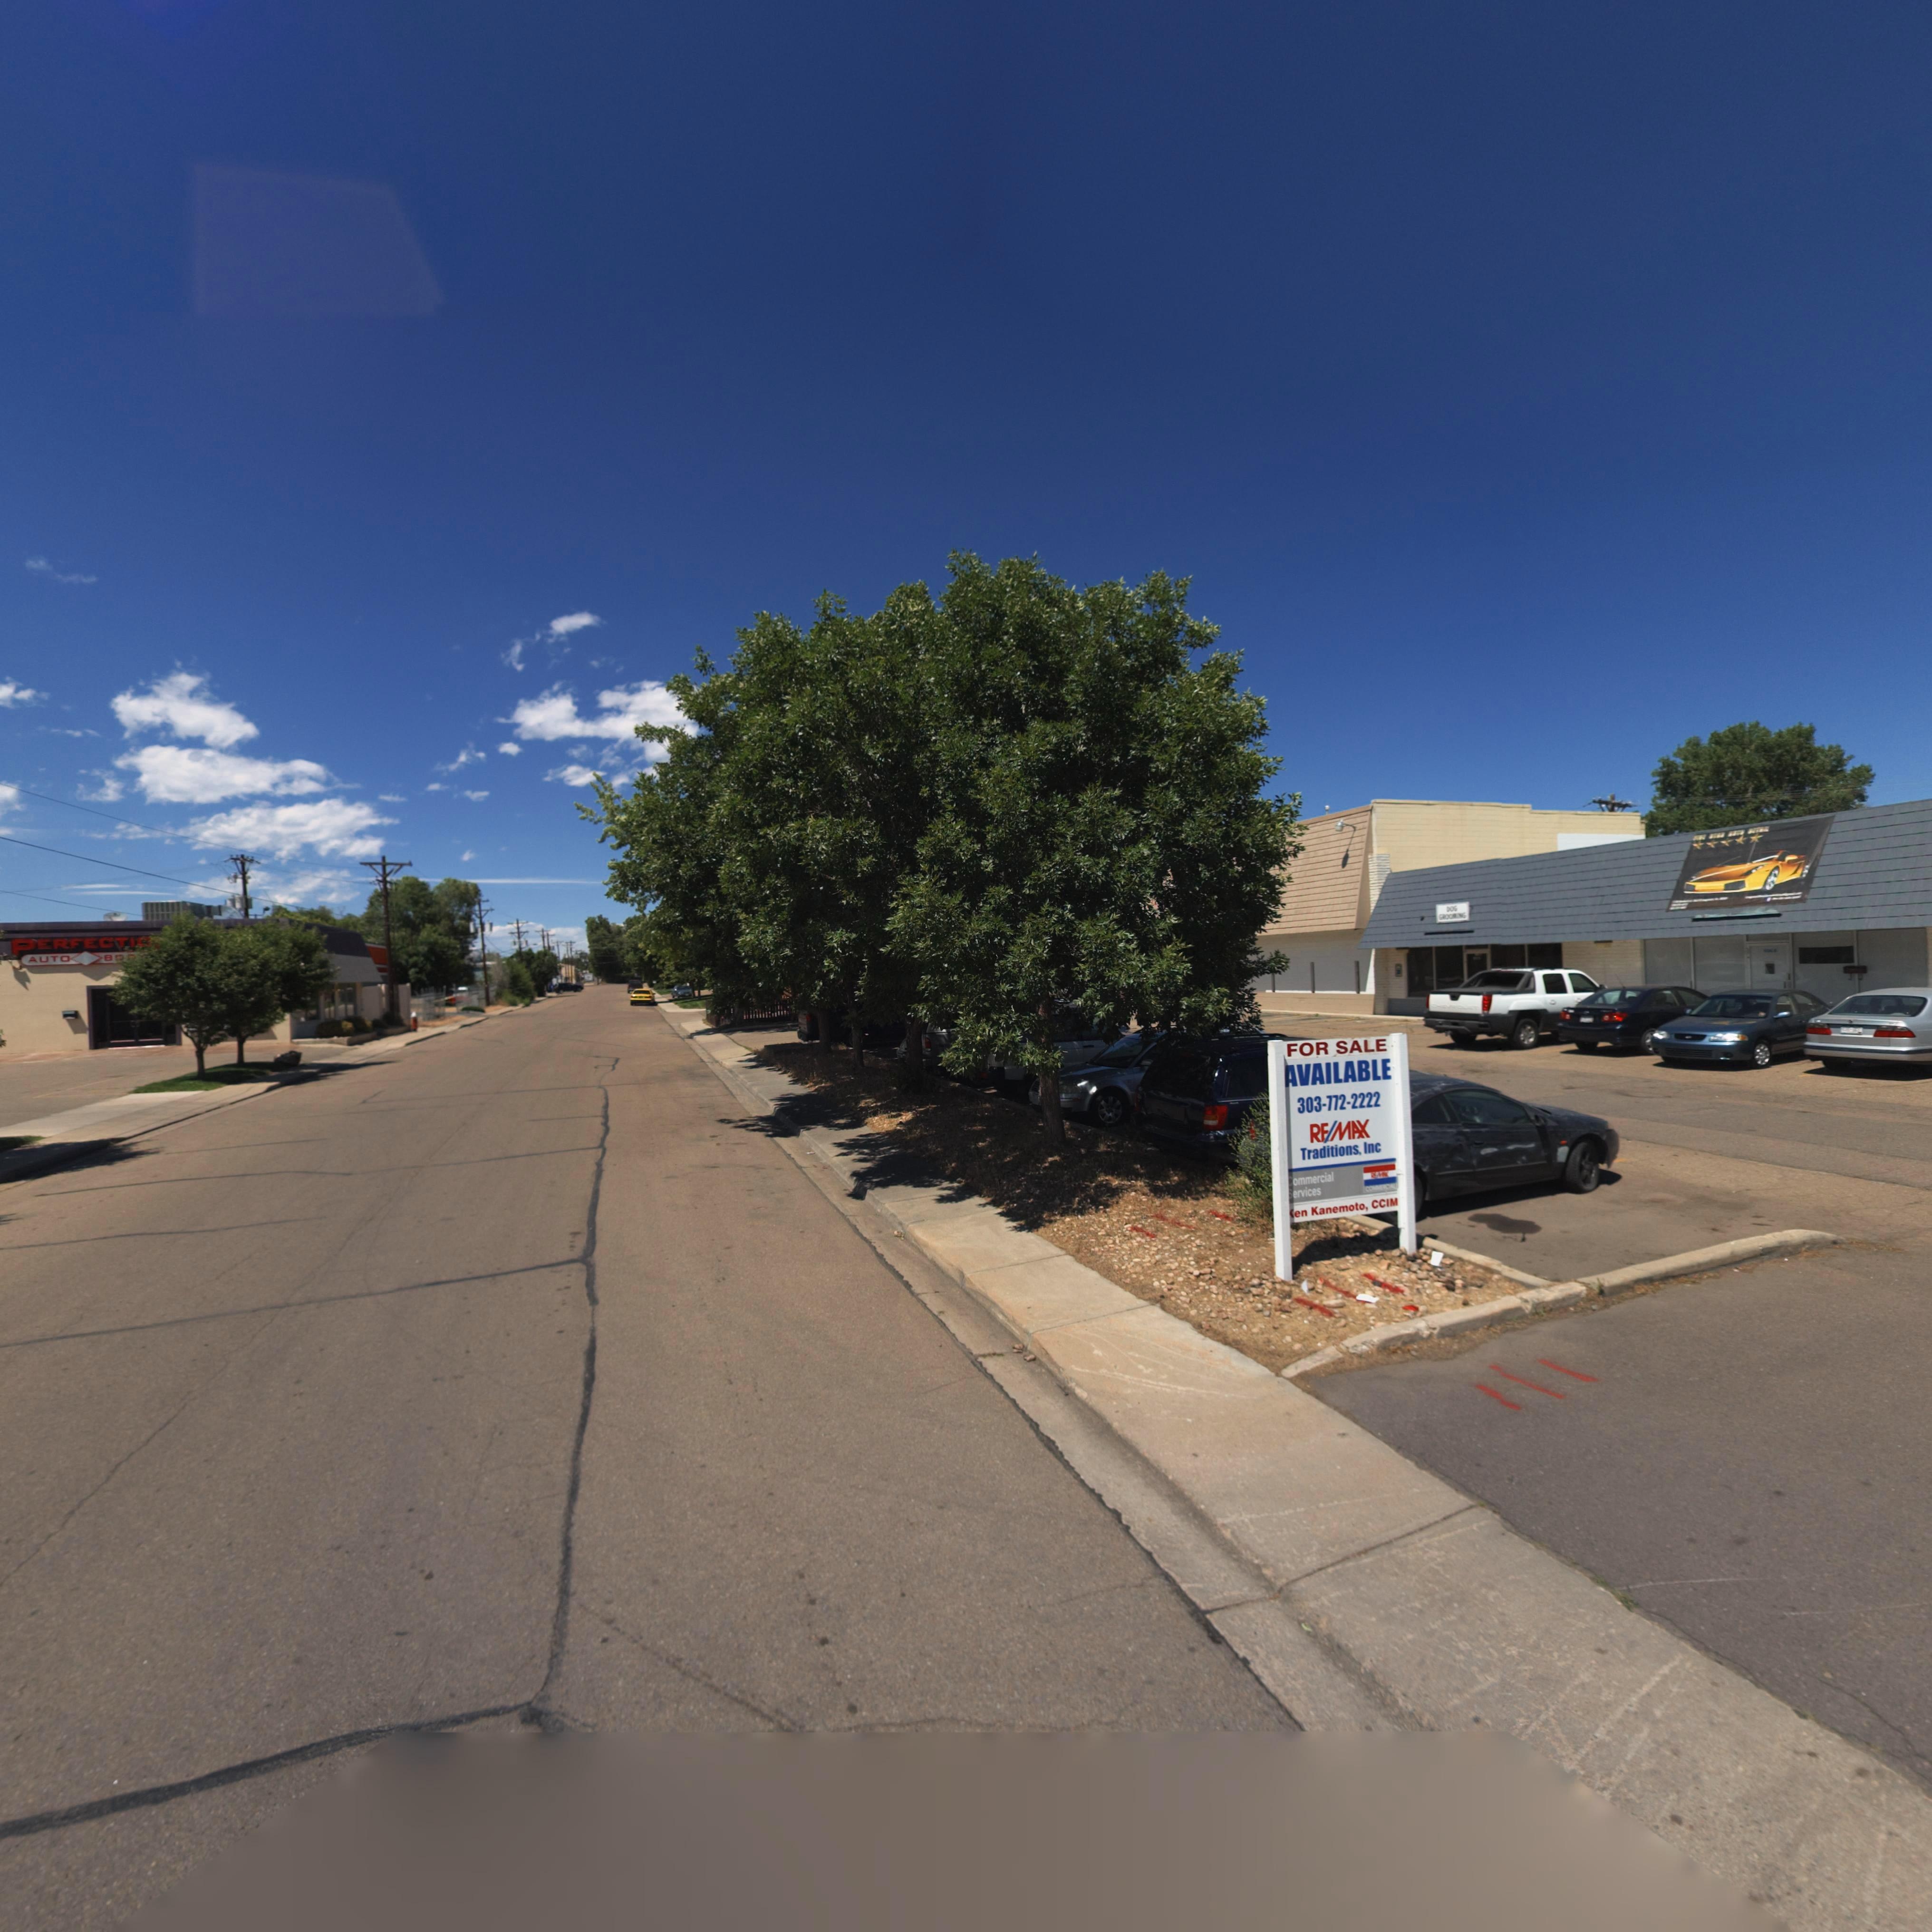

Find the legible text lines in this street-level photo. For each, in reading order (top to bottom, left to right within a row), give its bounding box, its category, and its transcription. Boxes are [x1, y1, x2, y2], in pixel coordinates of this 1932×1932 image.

[10, 936, 163, 957] BusinessName: PERFECTIO*
[27, 952, 138, 964] BusinessName: AUTO BO*